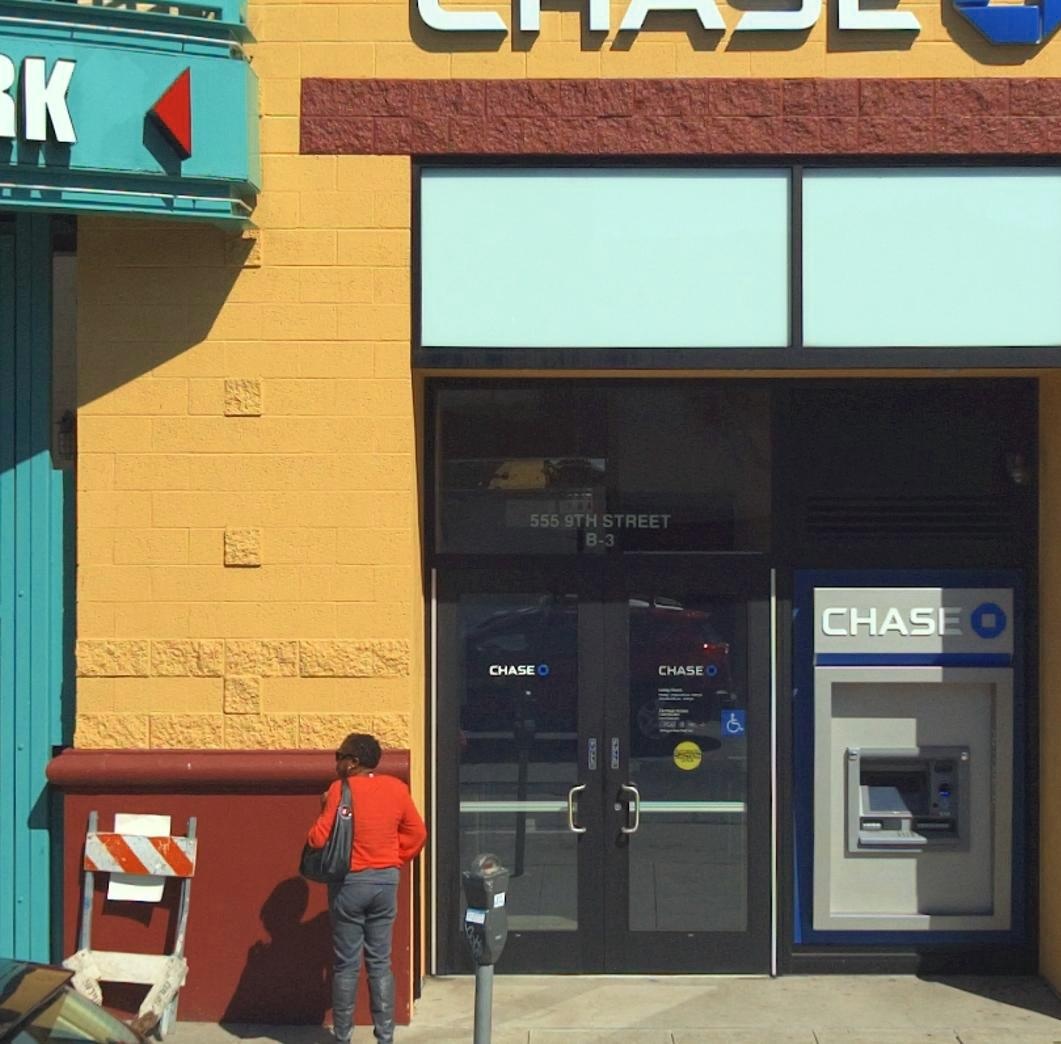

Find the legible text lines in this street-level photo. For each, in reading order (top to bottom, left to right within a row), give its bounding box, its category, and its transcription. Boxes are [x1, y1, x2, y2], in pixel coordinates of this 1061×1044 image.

[15, 52, 86, 150] None: K
[528, 511, 562, 531] StreetNumber: 555
[562, 511, 676, 532] StreetName: 9TH STREET
[583, 530, 617, 550] SecondaryUnitDesignator: B-3
[819, 604, 966, 639] BusinessName: CHASE
[486, 662, 538, 678] BusinessName: CHASE
[656, 663, 706, 678] BusinessName: CHASE